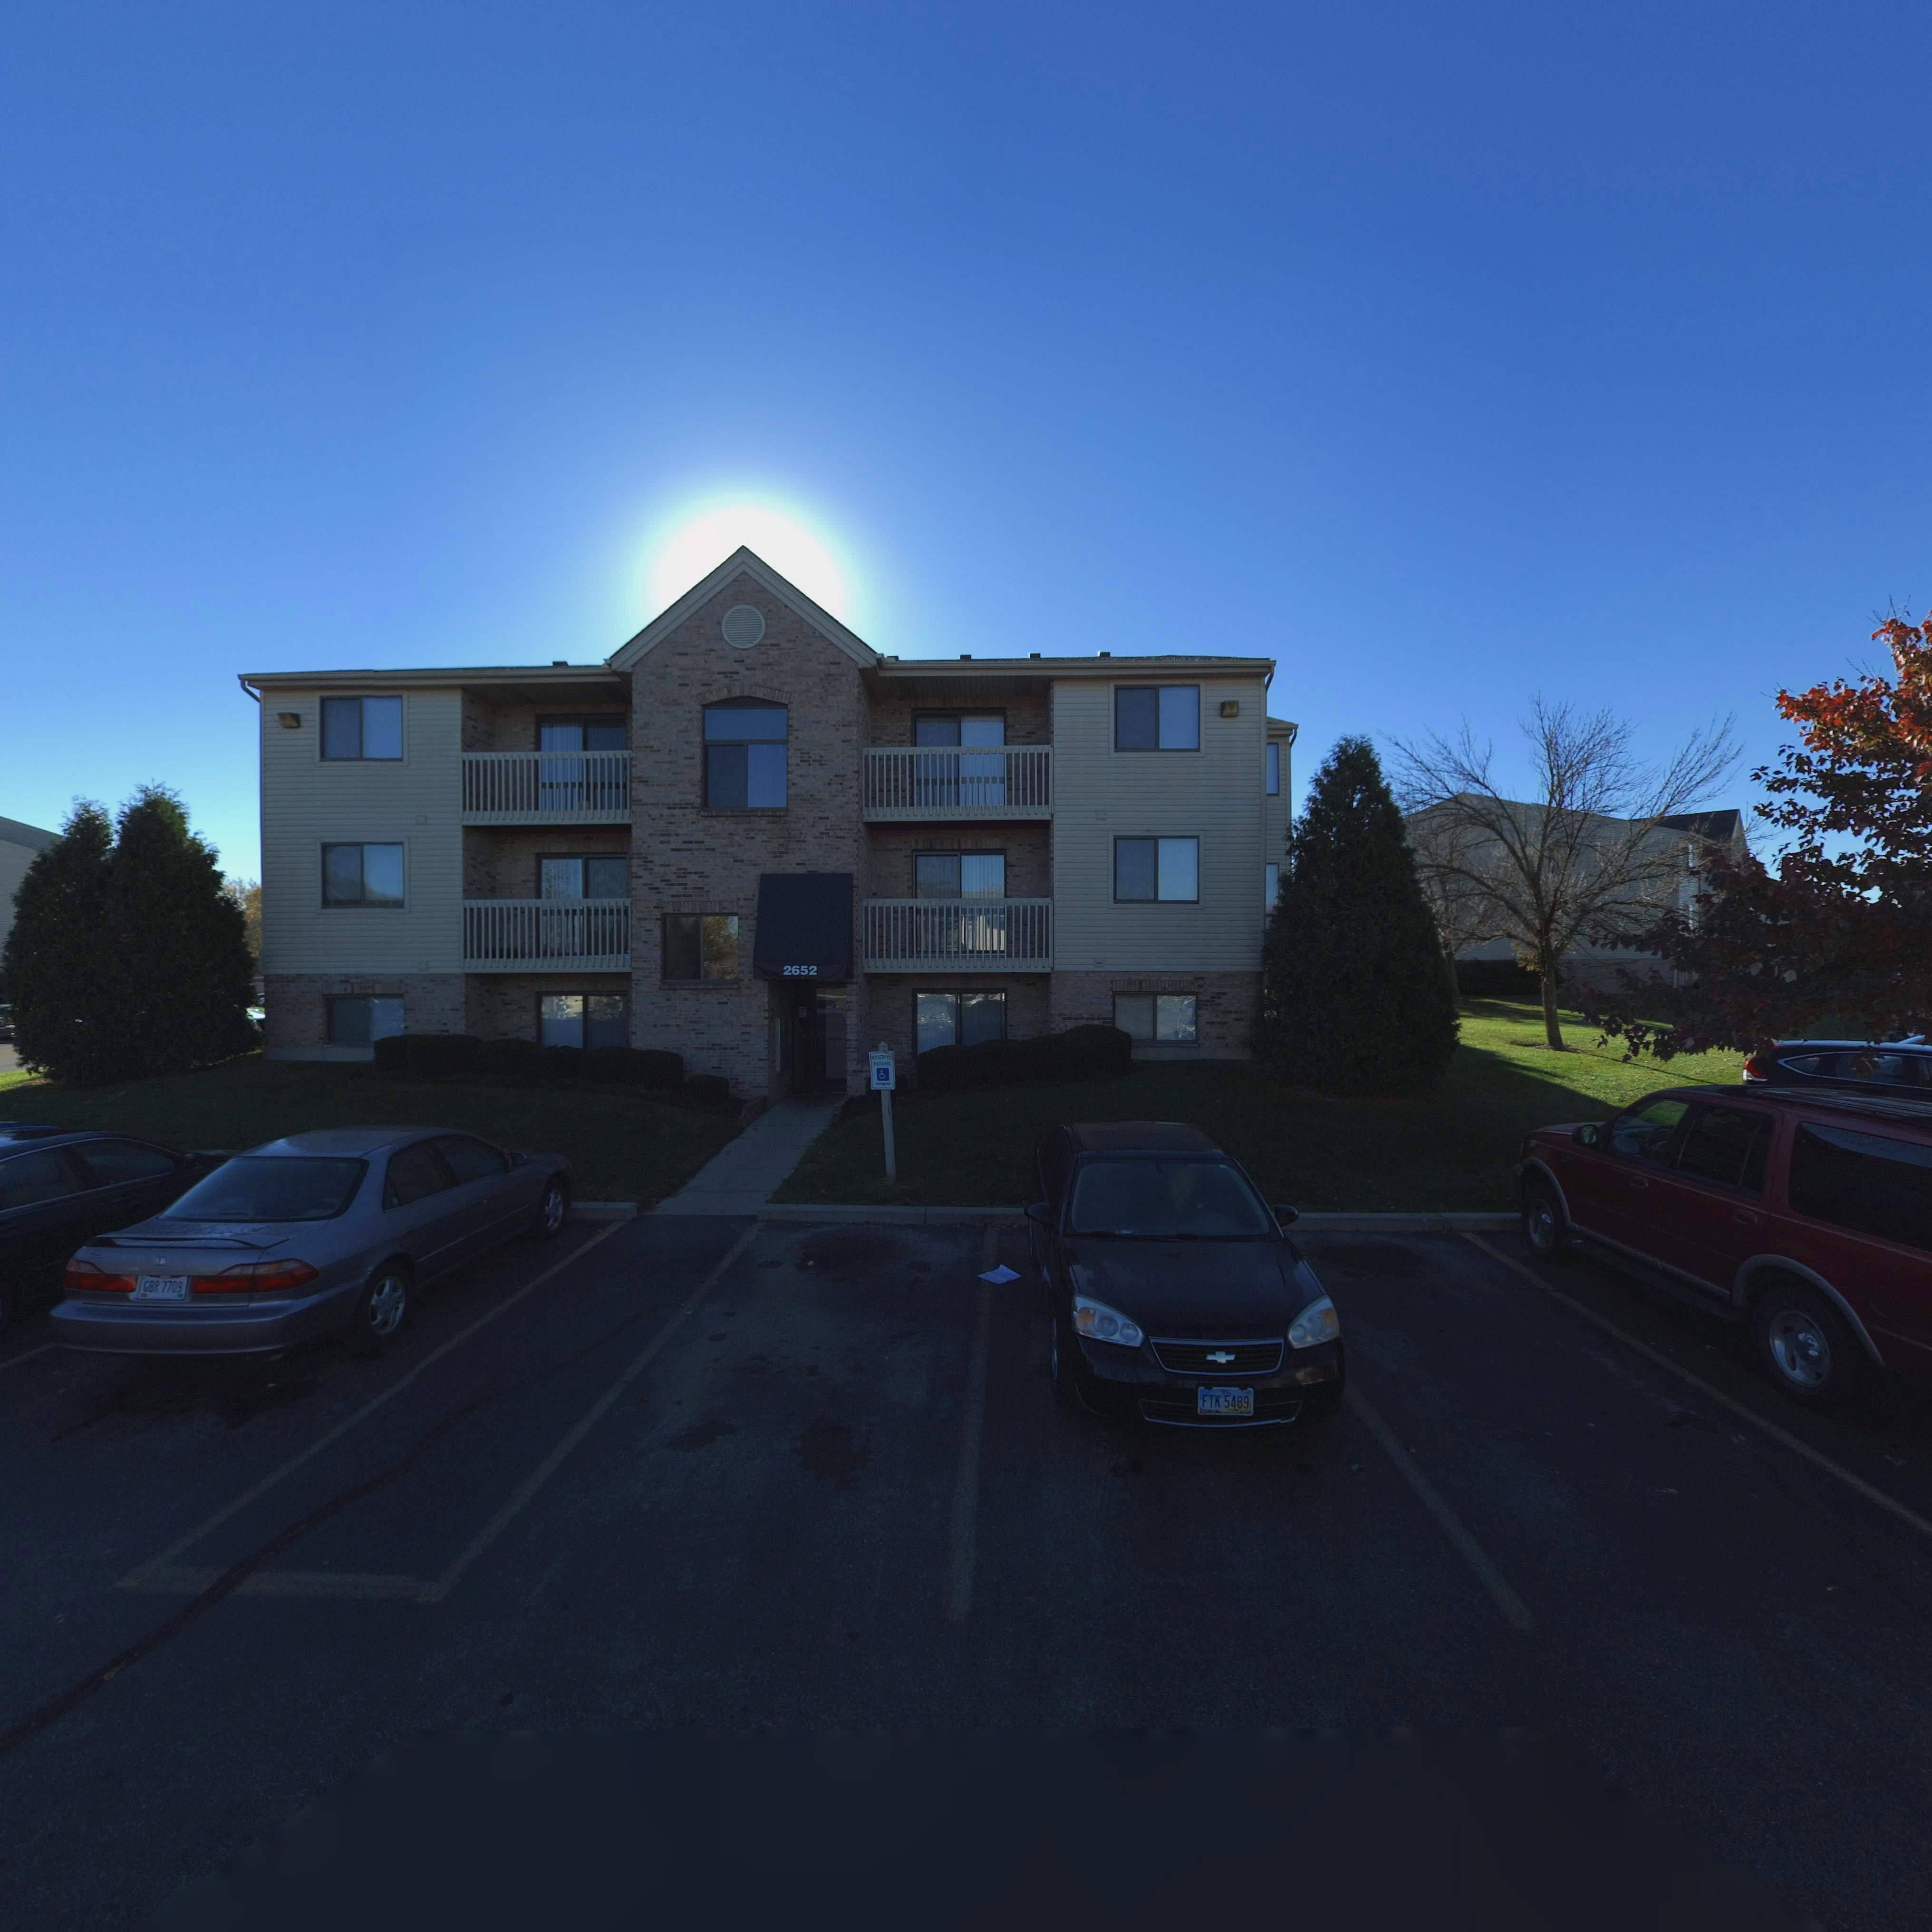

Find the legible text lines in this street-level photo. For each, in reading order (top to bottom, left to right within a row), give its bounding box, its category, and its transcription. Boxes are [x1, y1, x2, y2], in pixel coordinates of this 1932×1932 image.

[782, 965, 818, 976] StreetNumber: 2652